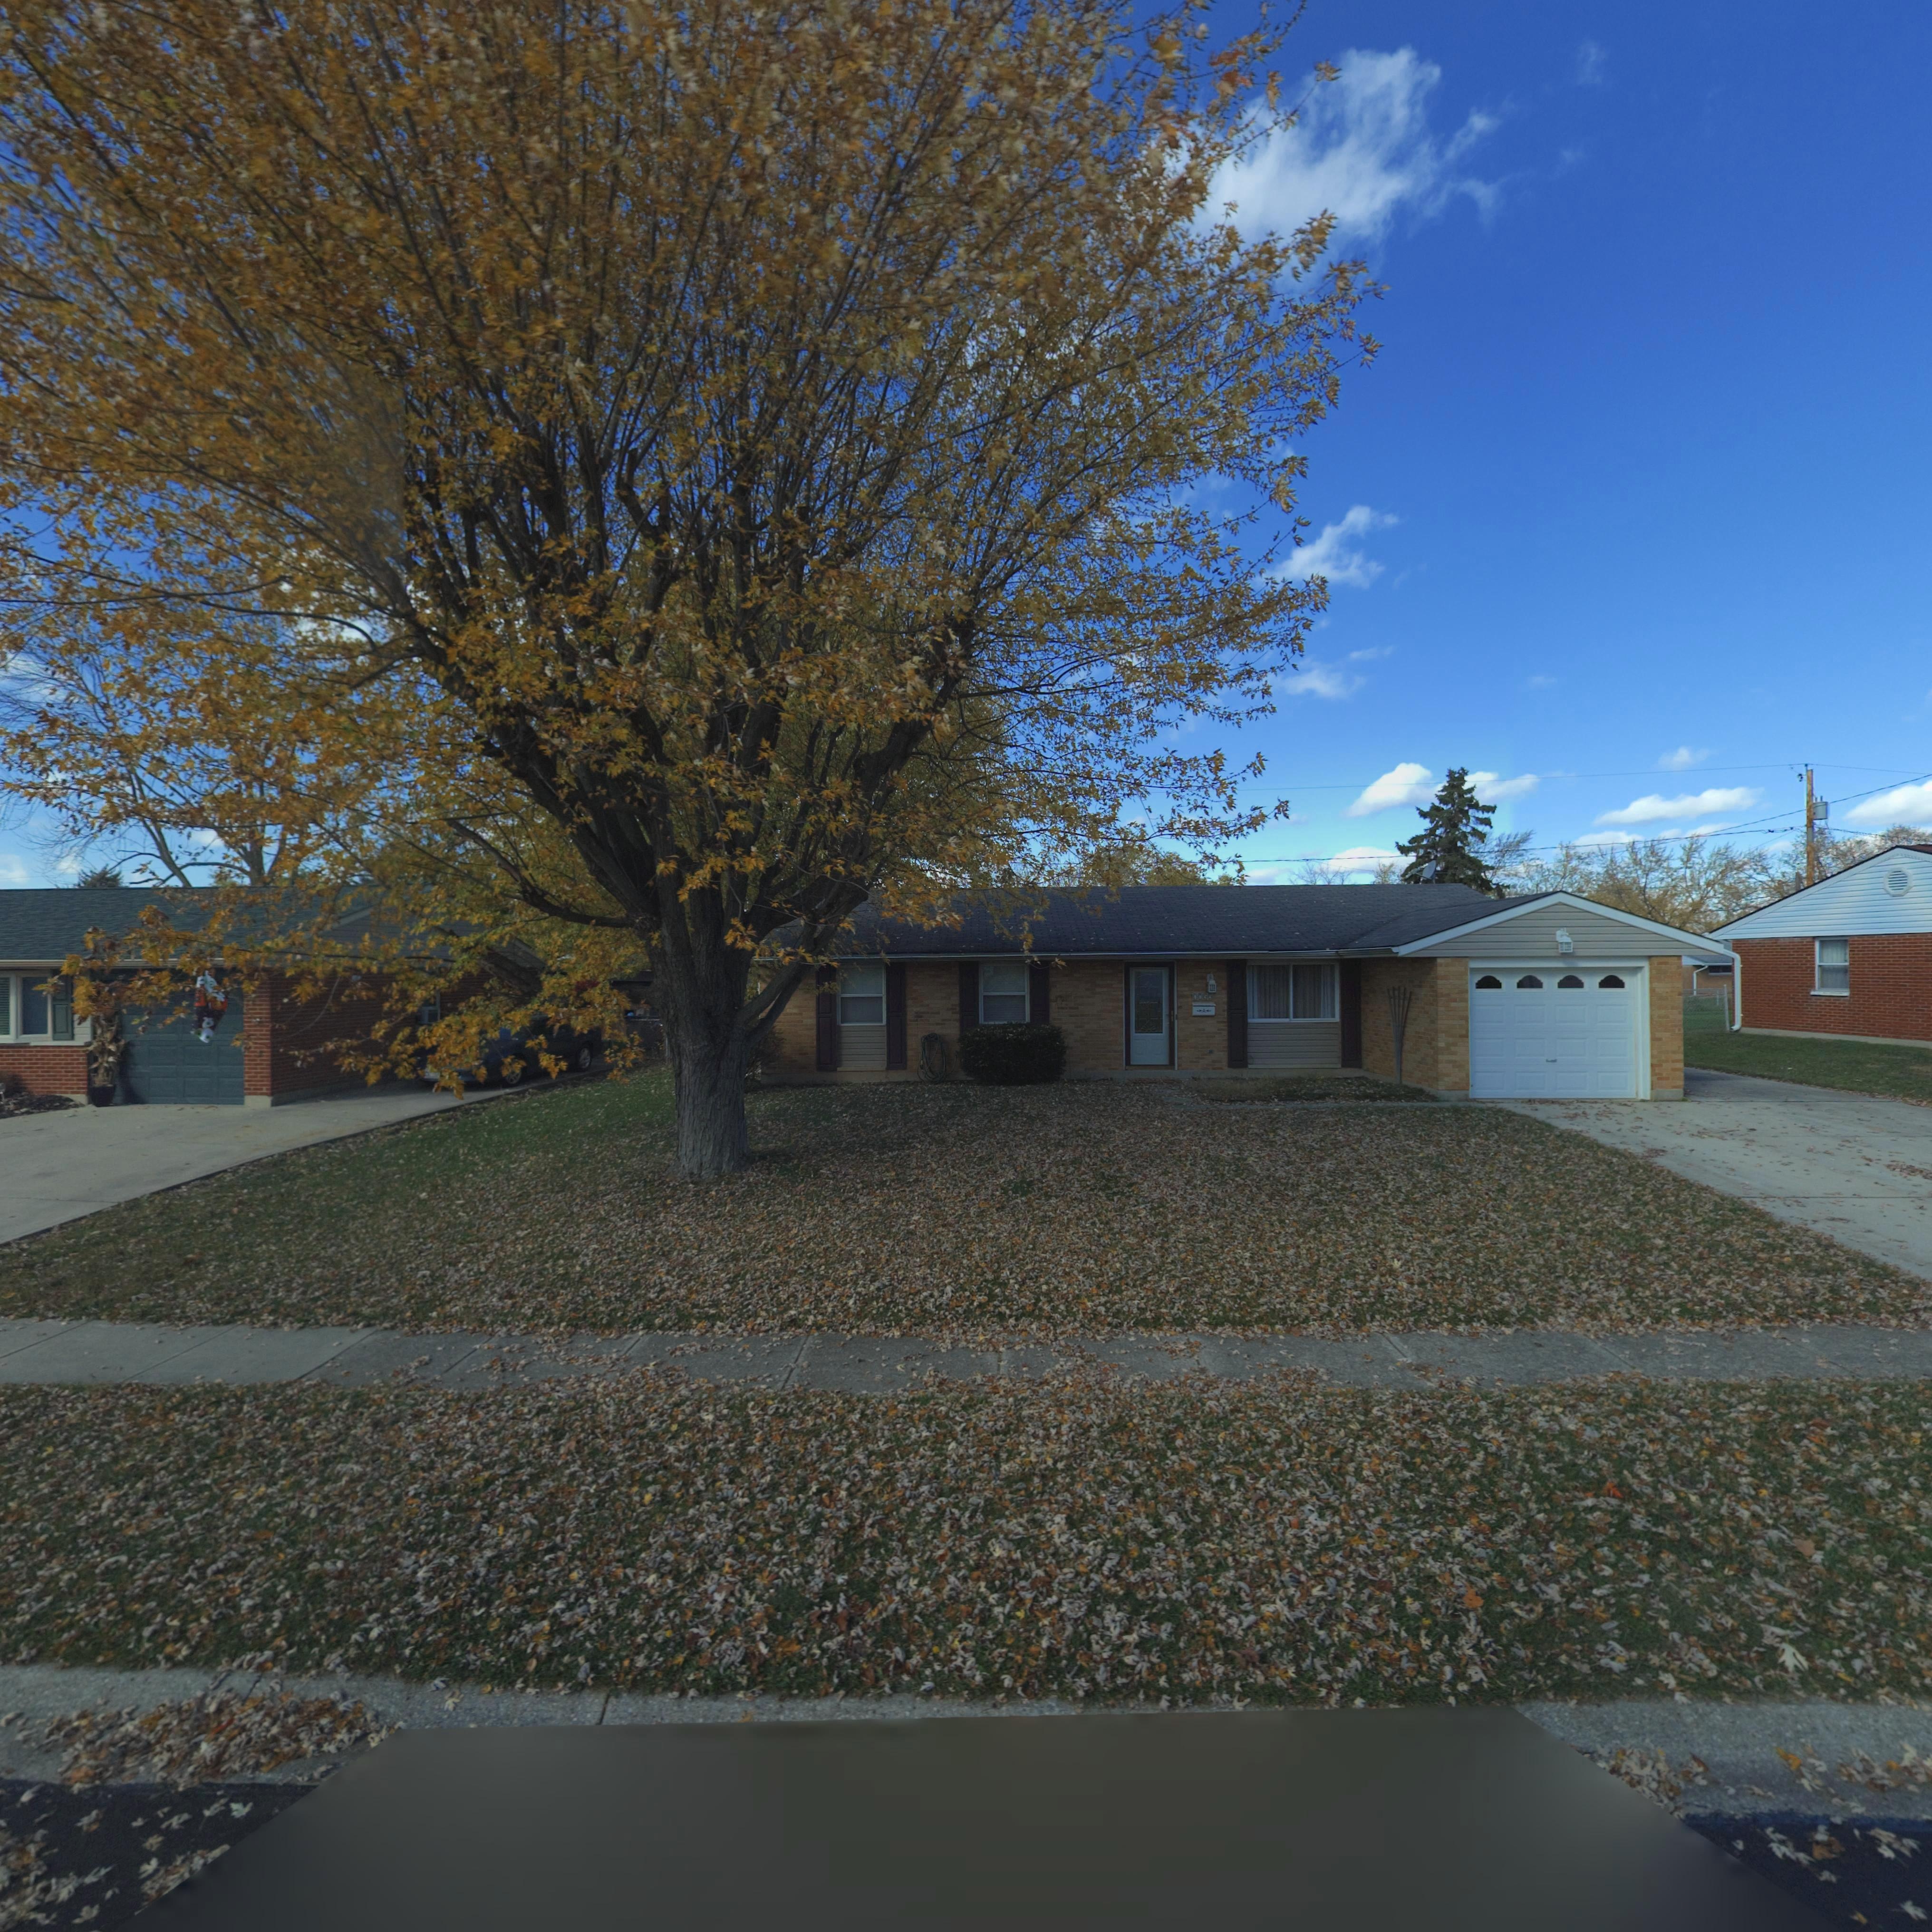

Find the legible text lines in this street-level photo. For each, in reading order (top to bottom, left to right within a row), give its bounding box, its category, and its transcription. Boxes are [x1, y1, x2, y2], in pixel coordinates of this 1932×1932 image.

[1193, 993, 1213, 1000] StreetNumber: 775*